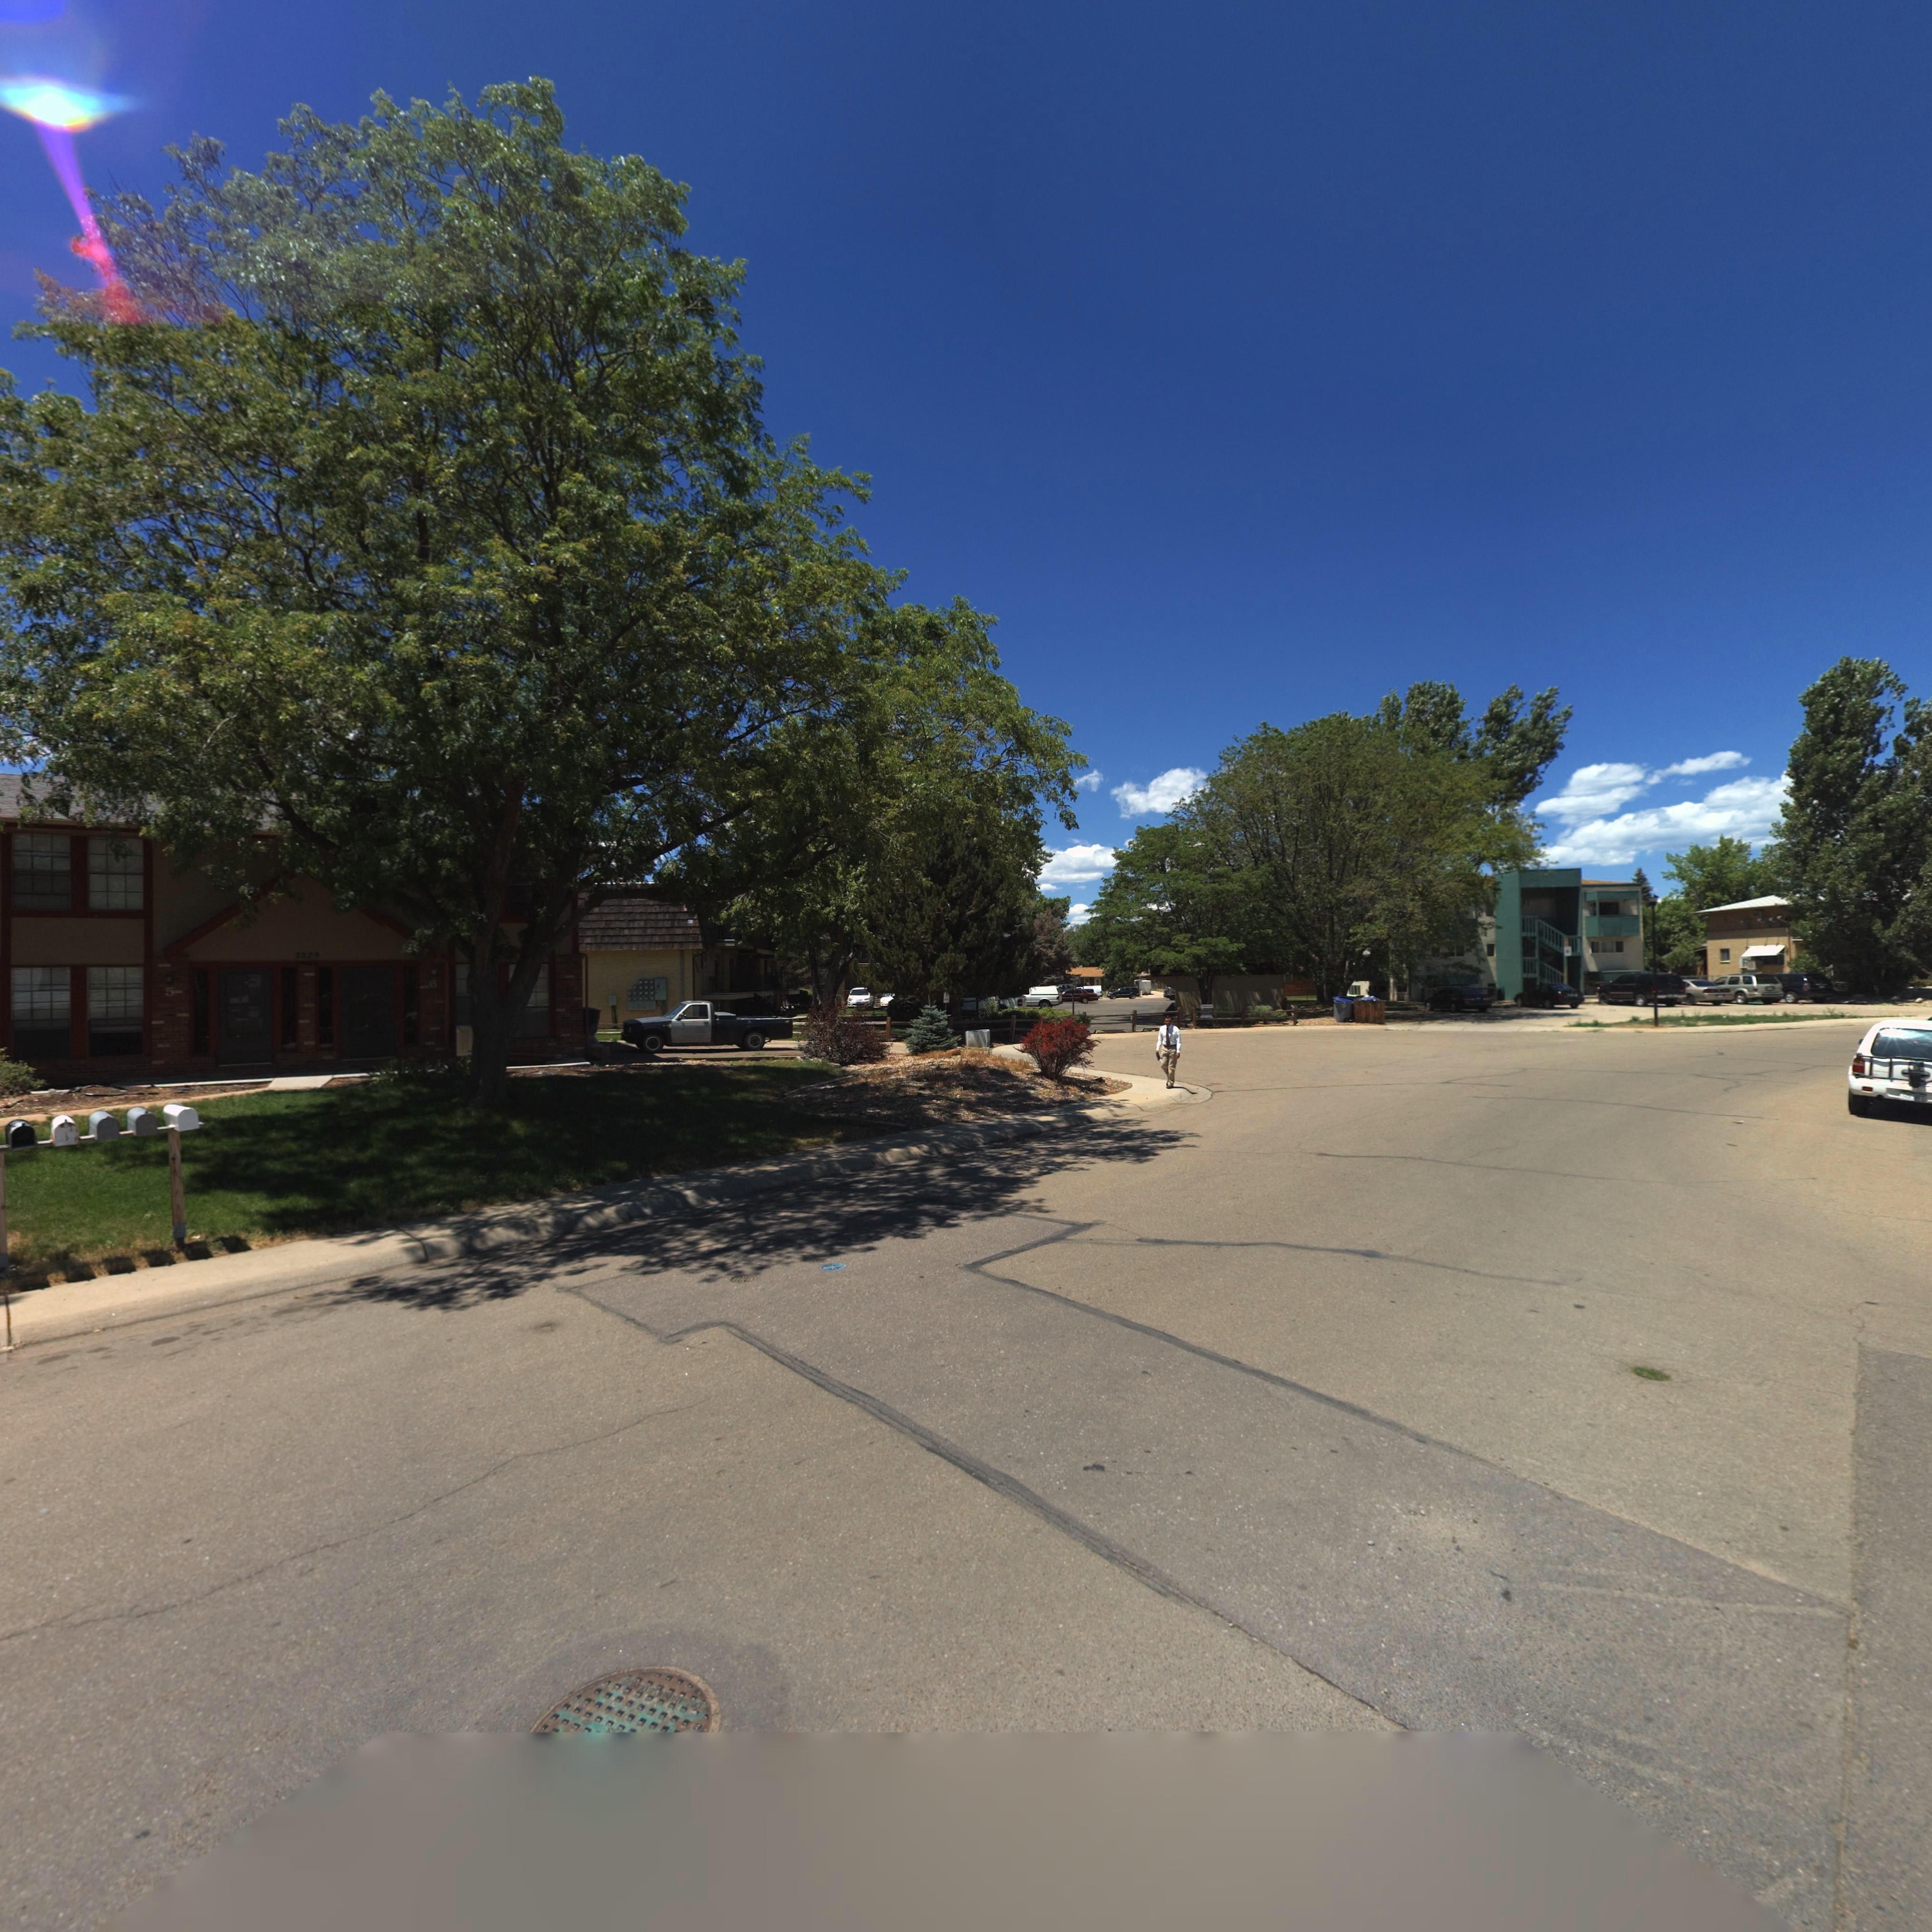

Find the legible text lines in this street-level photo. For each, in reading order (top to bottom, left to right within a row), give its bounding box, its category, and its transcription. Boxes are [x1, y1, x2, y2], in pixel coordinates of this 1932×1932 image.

[293, 951, 320, 959] StreetNumber: 2029
[428, 979, 438, 989] StreetNumber: 6
[164, 986, 175, 997] StreetNumber: 5
[64, 1135, 69, 1141] StreetNumber: 3